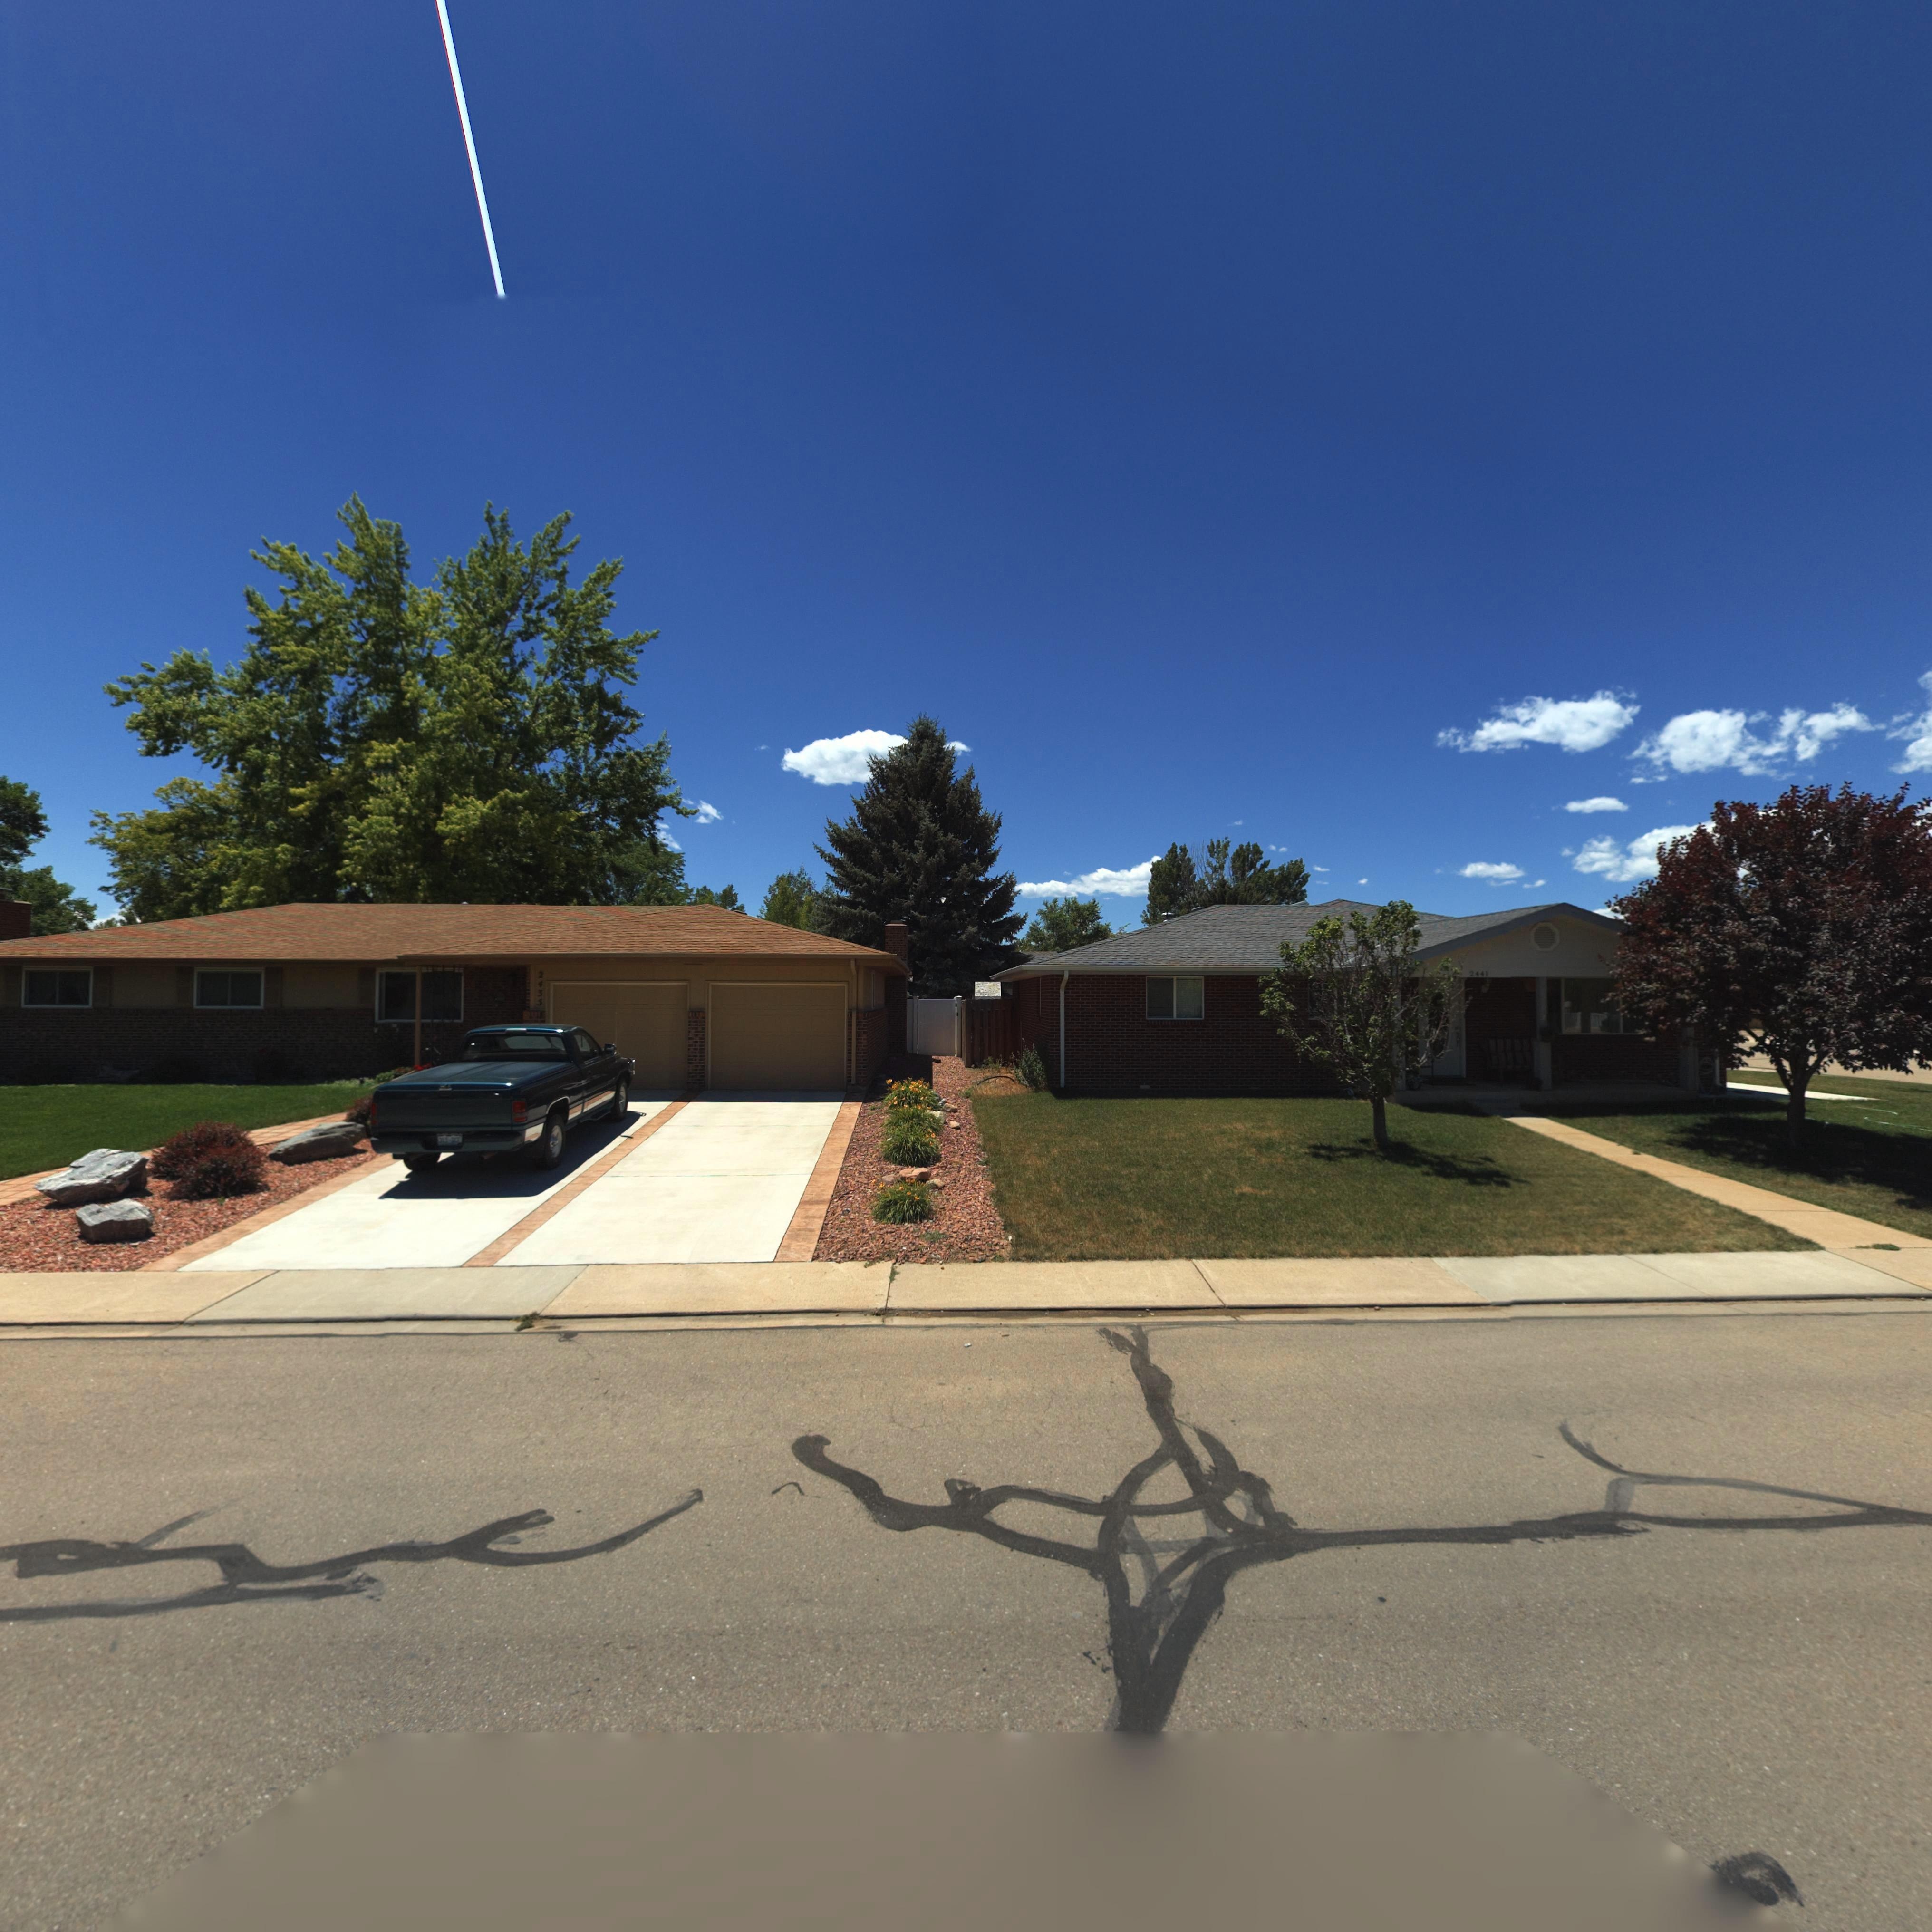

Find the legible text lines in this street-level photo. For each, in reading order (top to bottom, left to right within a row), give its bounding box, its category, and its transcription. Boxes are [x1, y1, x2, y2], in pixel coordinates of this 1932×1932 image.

[536, 970, 543, 1006] StreetNumber: 2435
[1468, 969, 1488, 977] StreetNumber: 2441